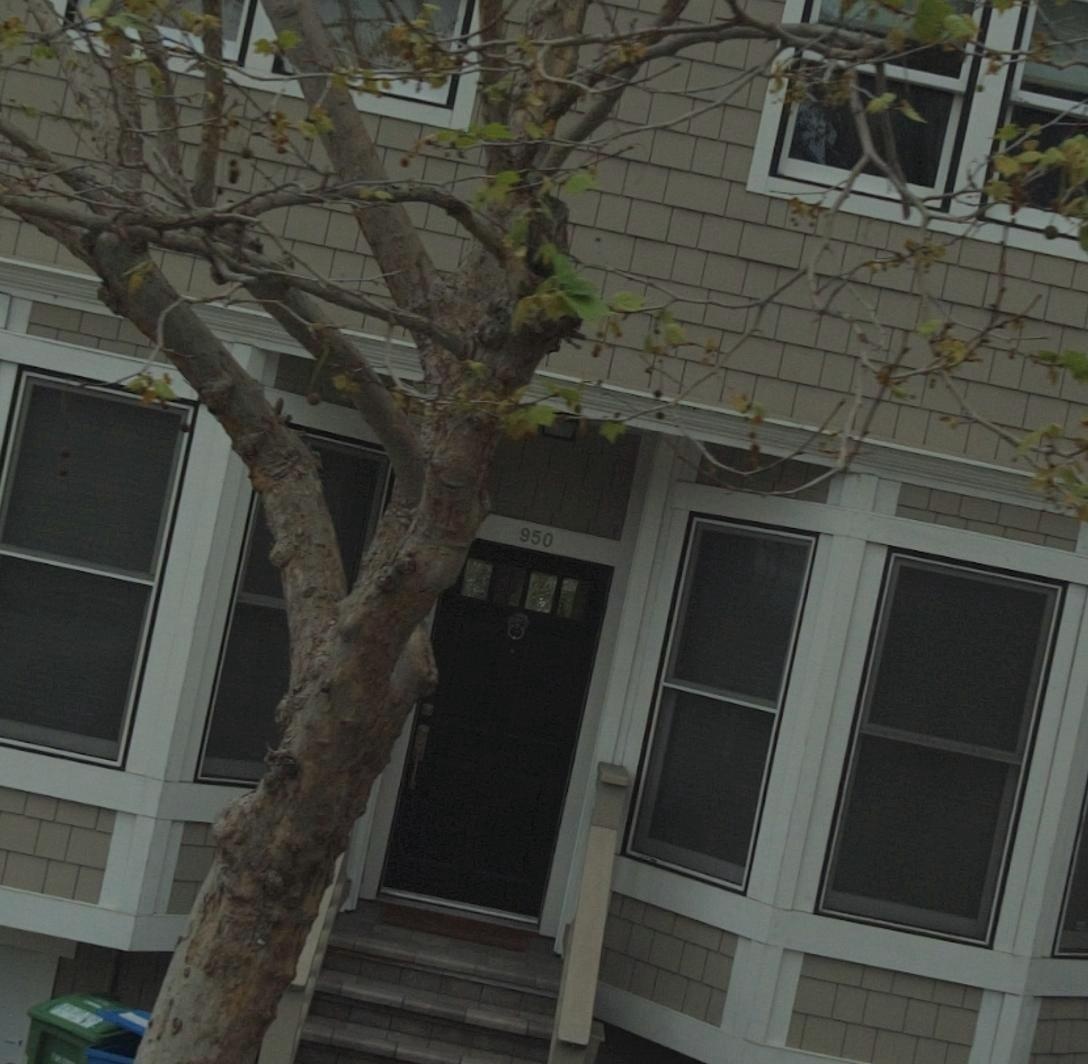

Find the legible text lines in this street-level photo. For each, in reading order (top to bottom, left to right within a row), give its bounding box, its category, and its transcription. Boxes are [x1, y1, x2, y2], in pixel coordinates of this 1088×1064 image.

[518, 525, 556, 549] StreetNumber: 950